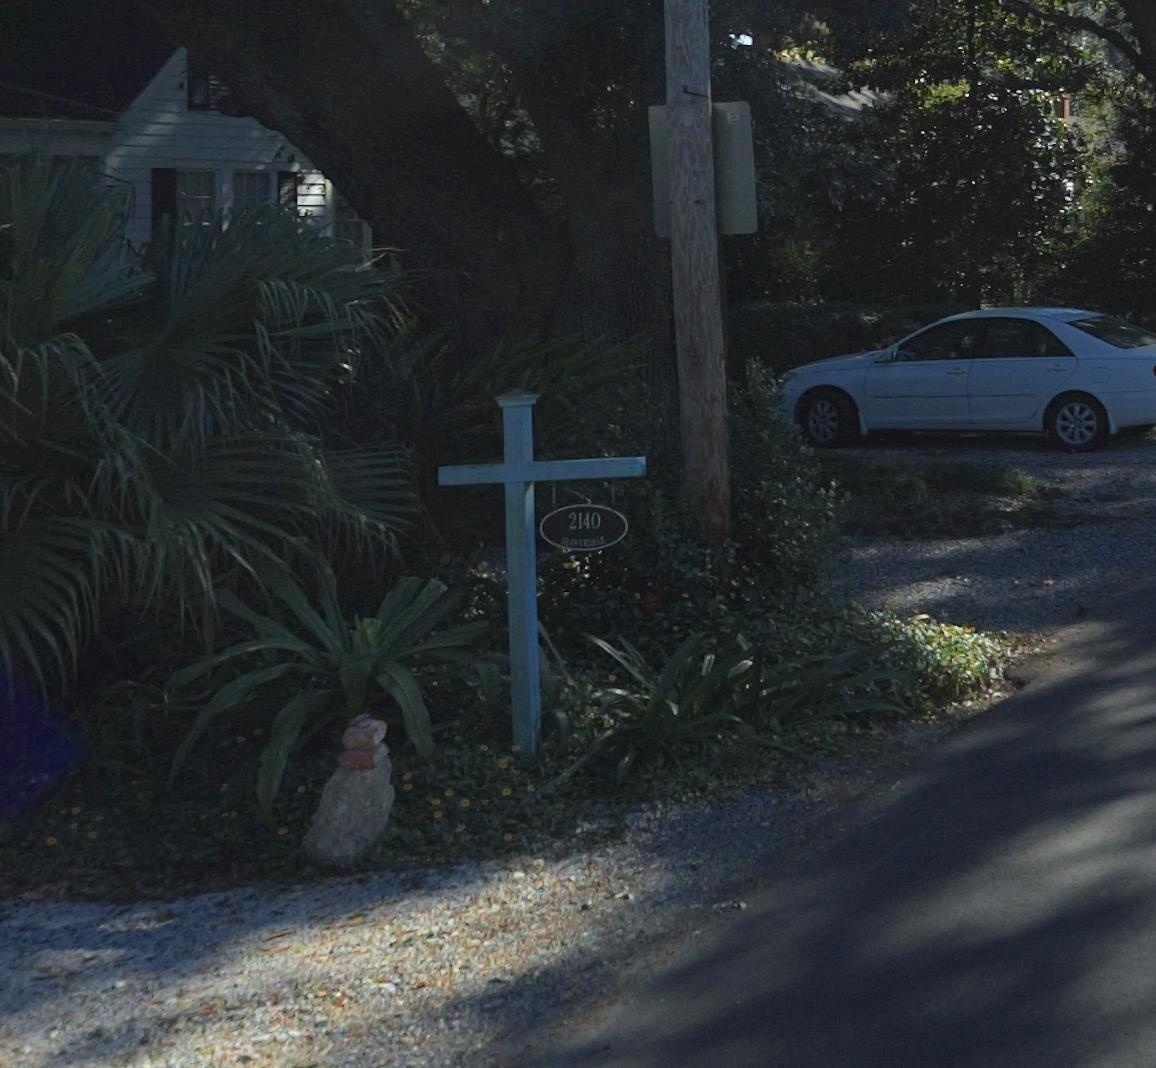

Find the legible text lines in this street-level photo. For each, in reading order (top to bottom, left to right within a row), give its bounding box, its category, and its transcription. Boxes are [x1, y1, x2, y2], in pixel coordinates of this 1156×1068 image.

[566, 509, 603, 532] StreetNumber: 2140